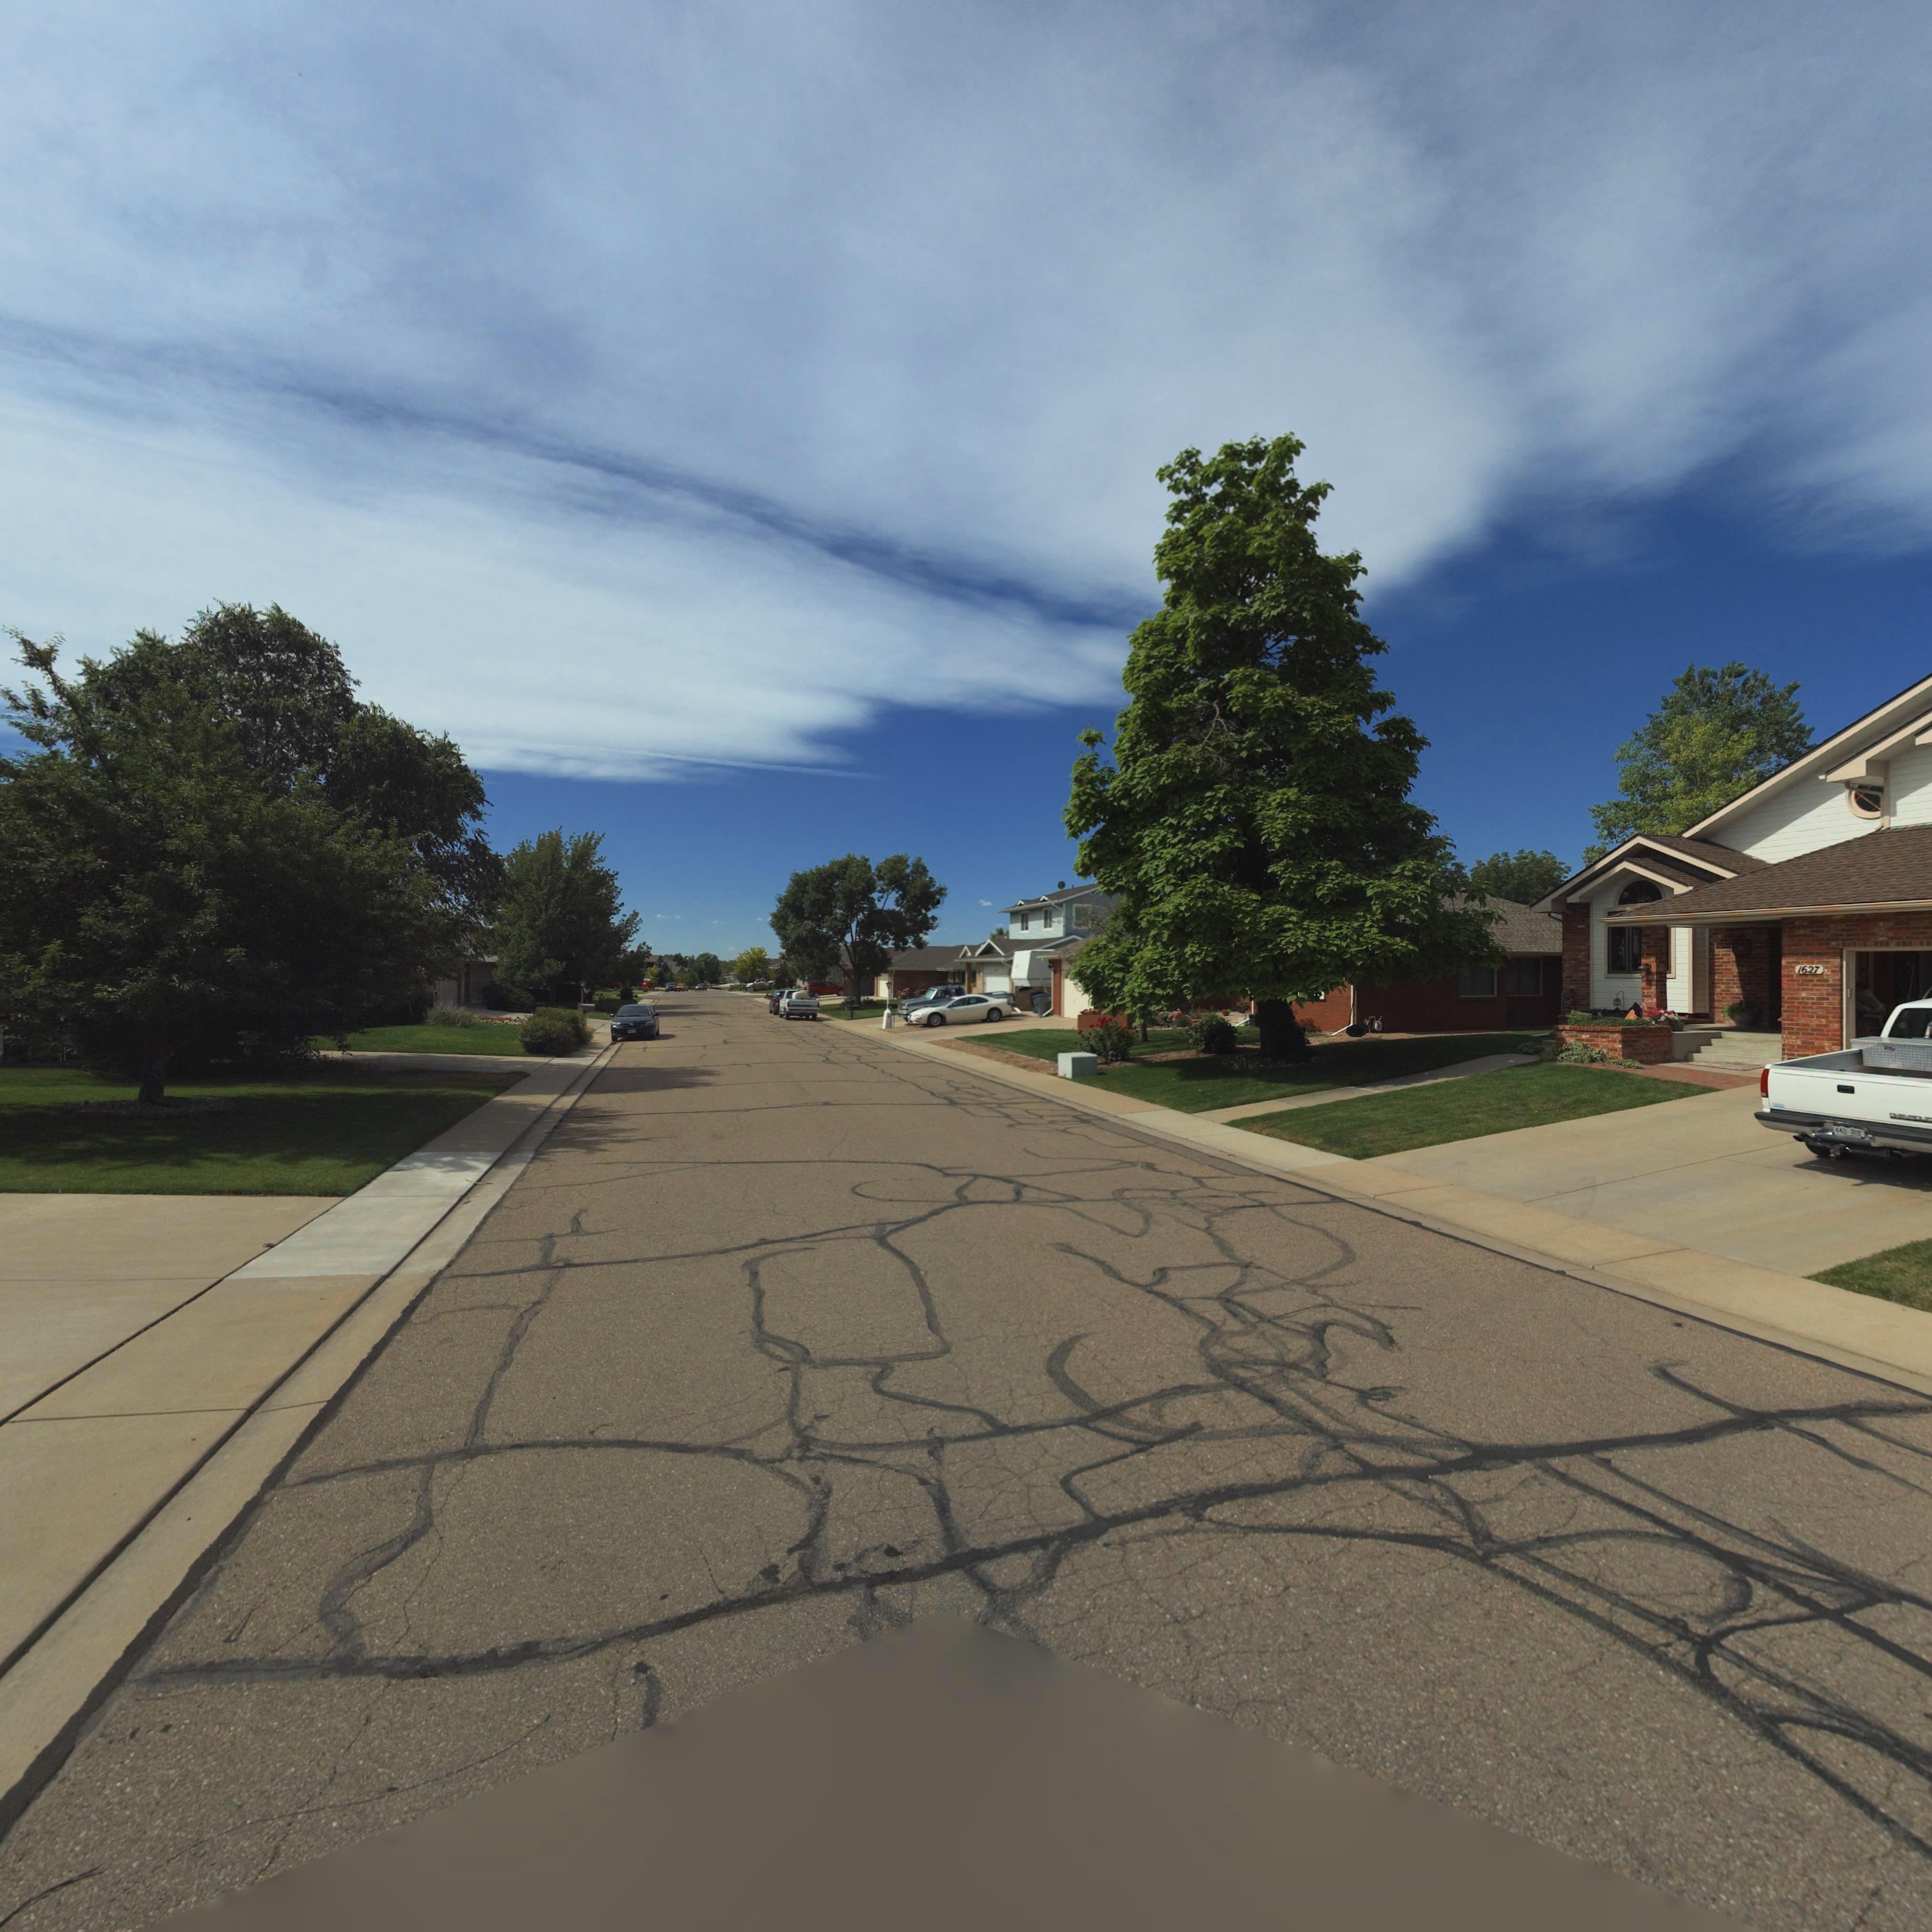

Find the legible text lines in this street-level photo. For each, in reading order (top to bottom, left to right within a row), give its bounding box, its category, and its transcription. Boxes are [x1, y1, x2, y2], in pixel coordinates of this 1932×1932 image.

[1797, 965, 1821, 974] StreetNumber: 1627